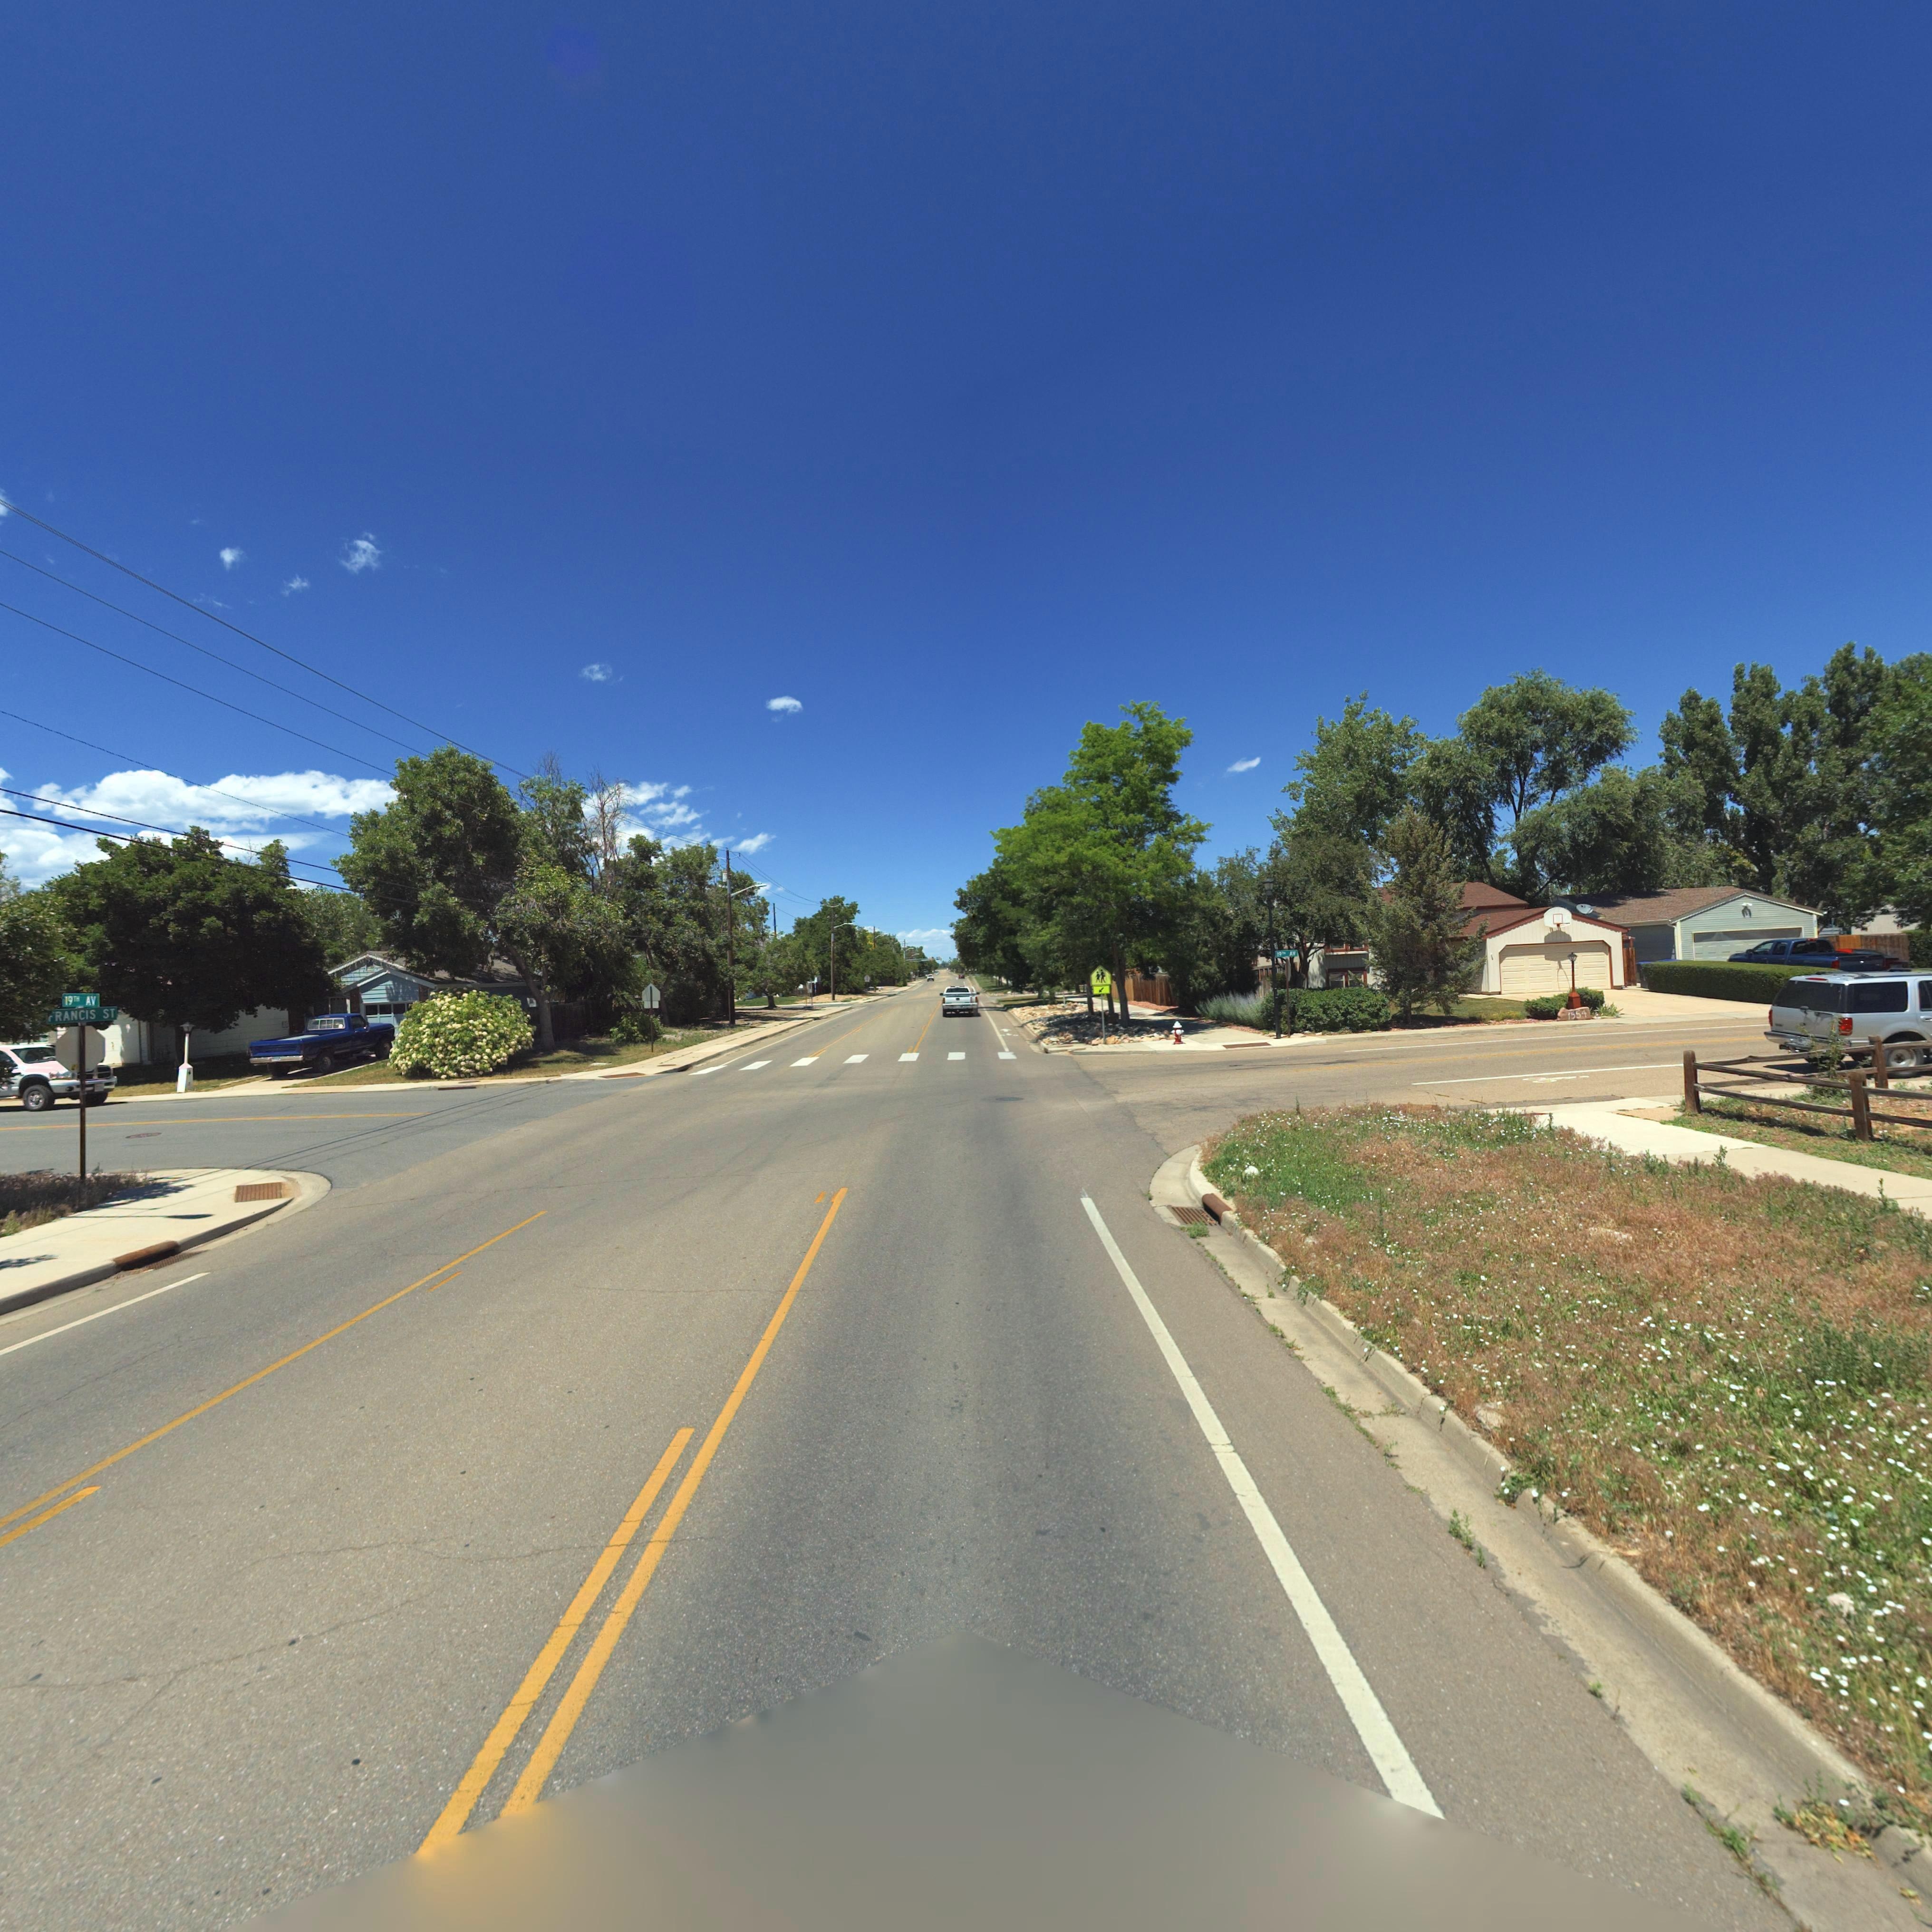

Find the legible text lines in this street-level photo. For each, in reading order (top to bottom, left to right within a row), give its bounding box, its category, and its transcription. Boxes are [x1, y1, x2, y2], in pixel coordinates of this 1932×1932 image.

[1275, 949, 1297, 957] StreetName: 19TH AV
[63, 994, 98, 1006] StreetName: 19TH AV
[47, 1006, 117, 1023] StreetName: *RANCIS ST
[1567, 1008, 1588, 1020] StreetNumber: 1554